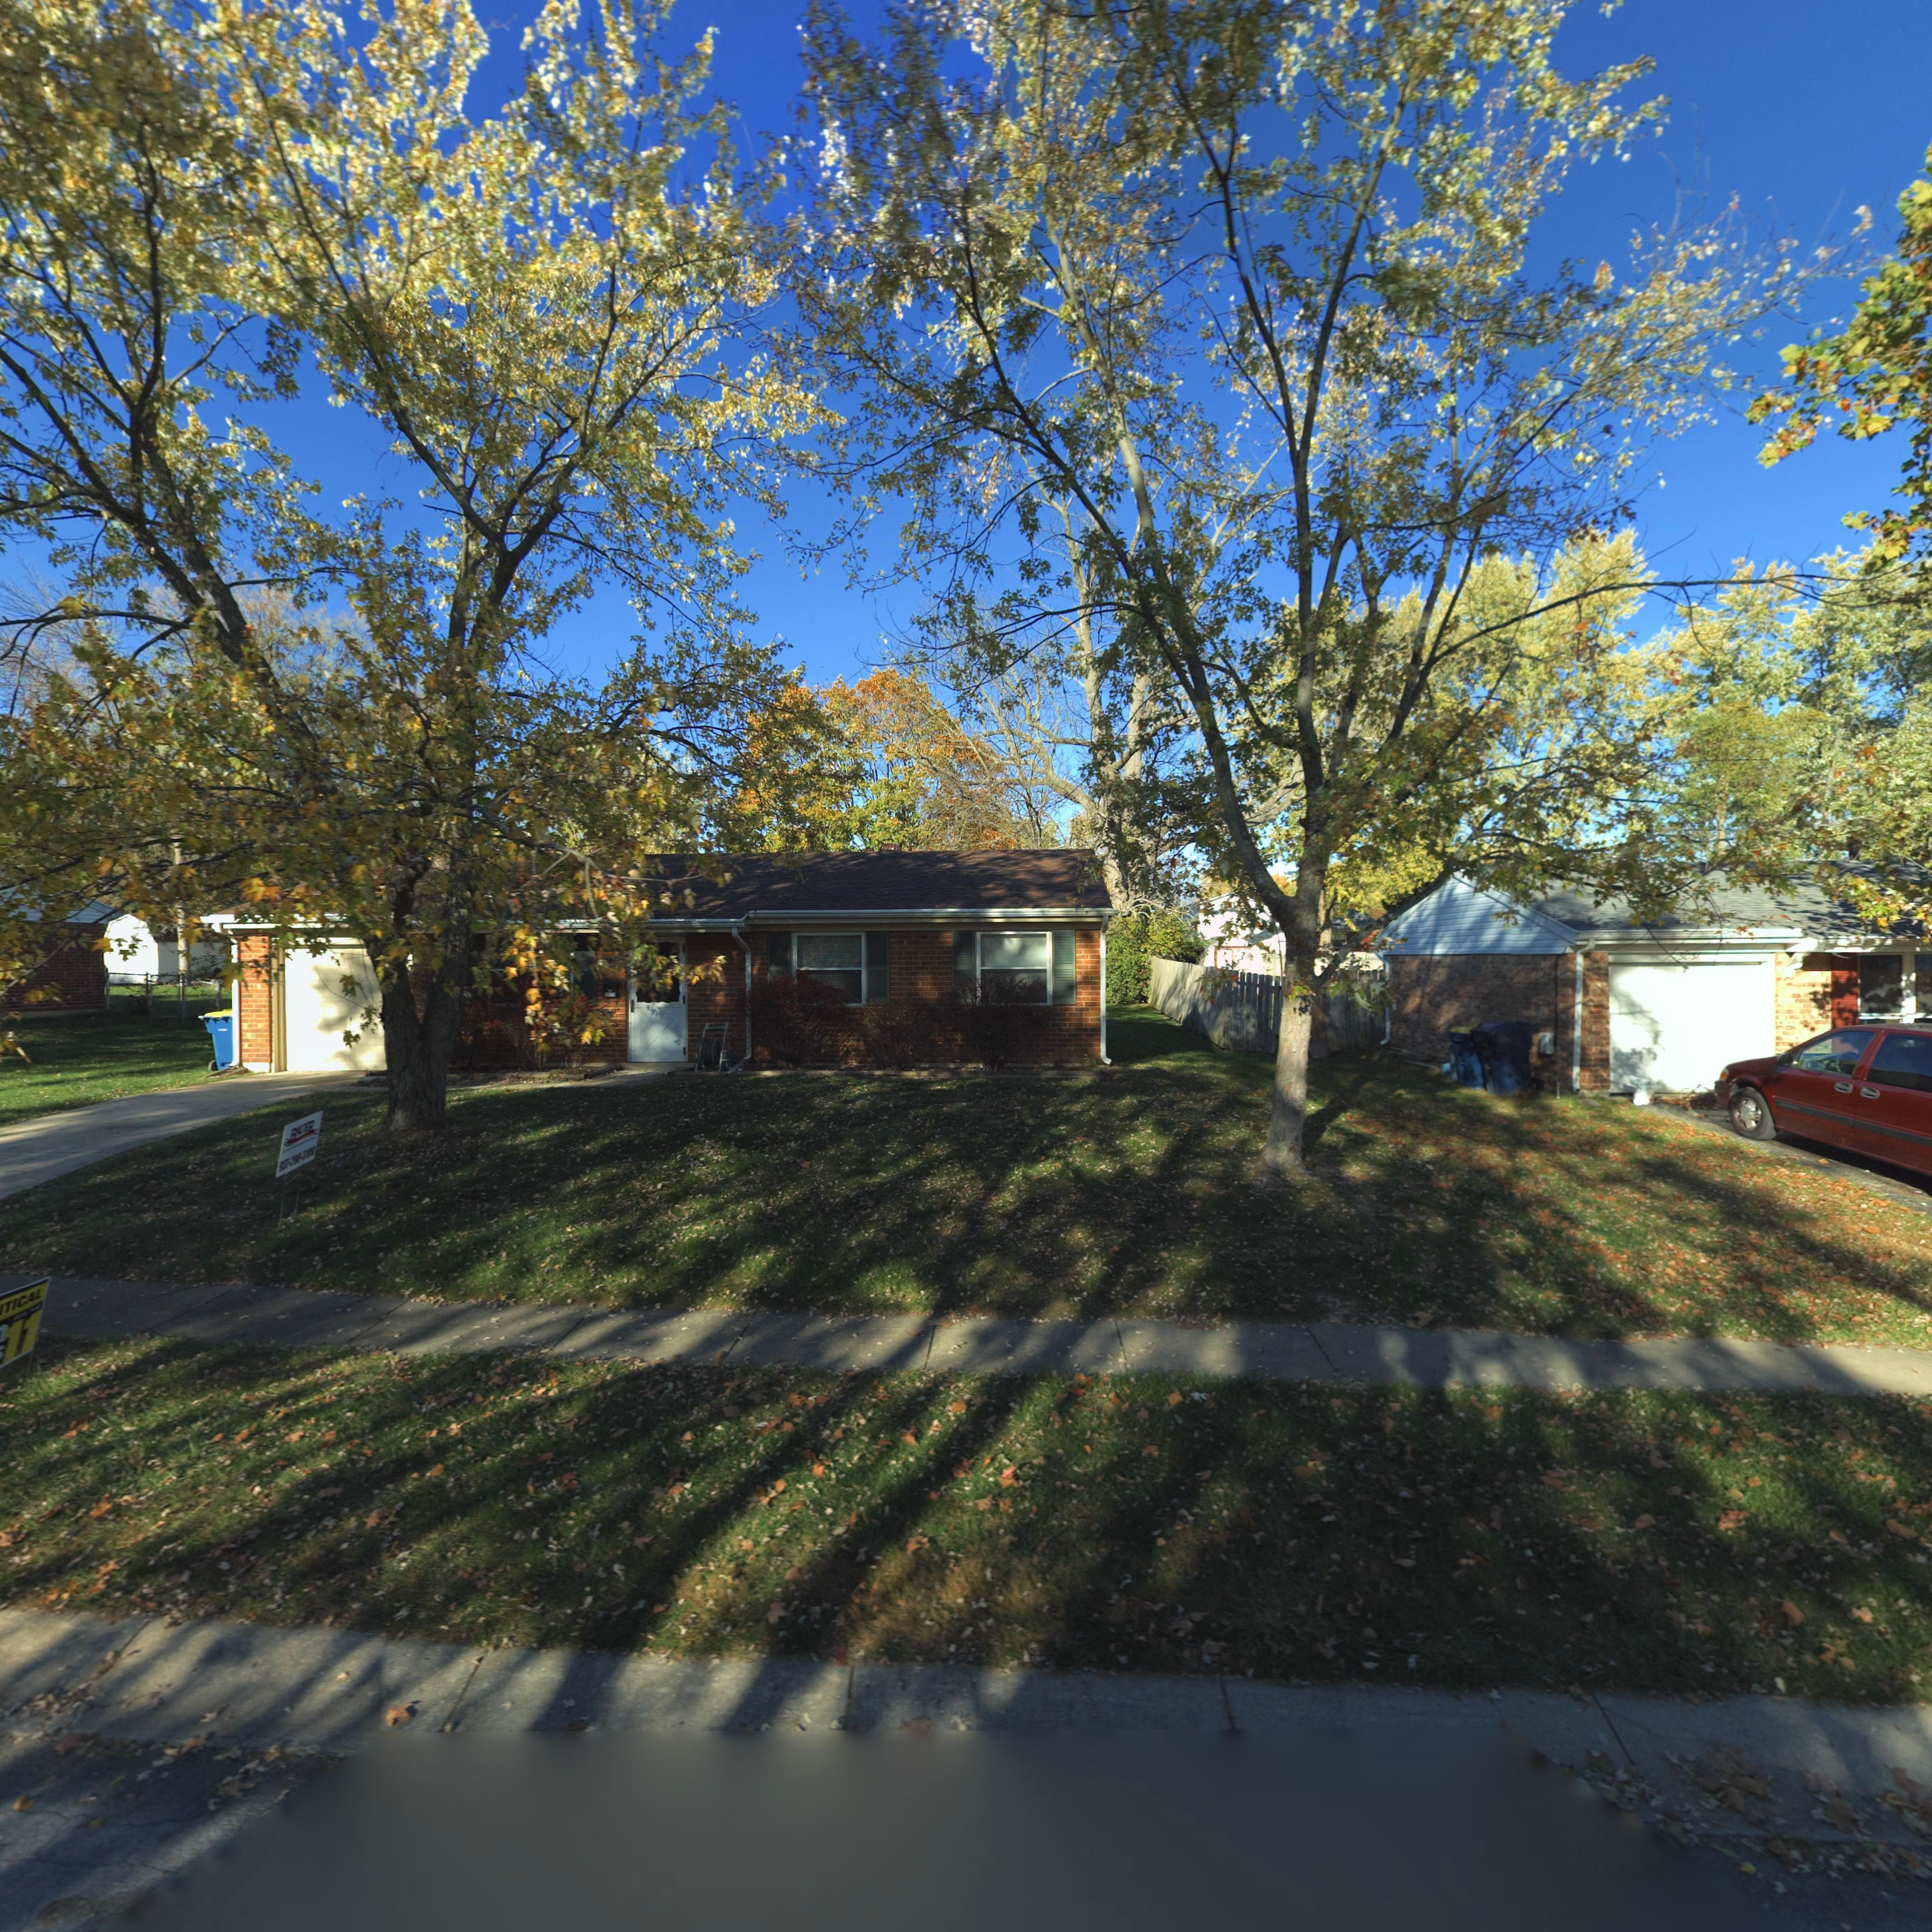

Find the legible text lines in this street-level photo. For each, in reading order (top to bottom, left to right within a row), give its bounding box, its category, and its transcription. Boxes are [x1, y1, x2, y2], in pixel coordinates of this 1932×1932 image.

[1678, 952, 1702, 961] StreetNumber: 5031
[604, 992, 615, 997] StreetNumber: 5***